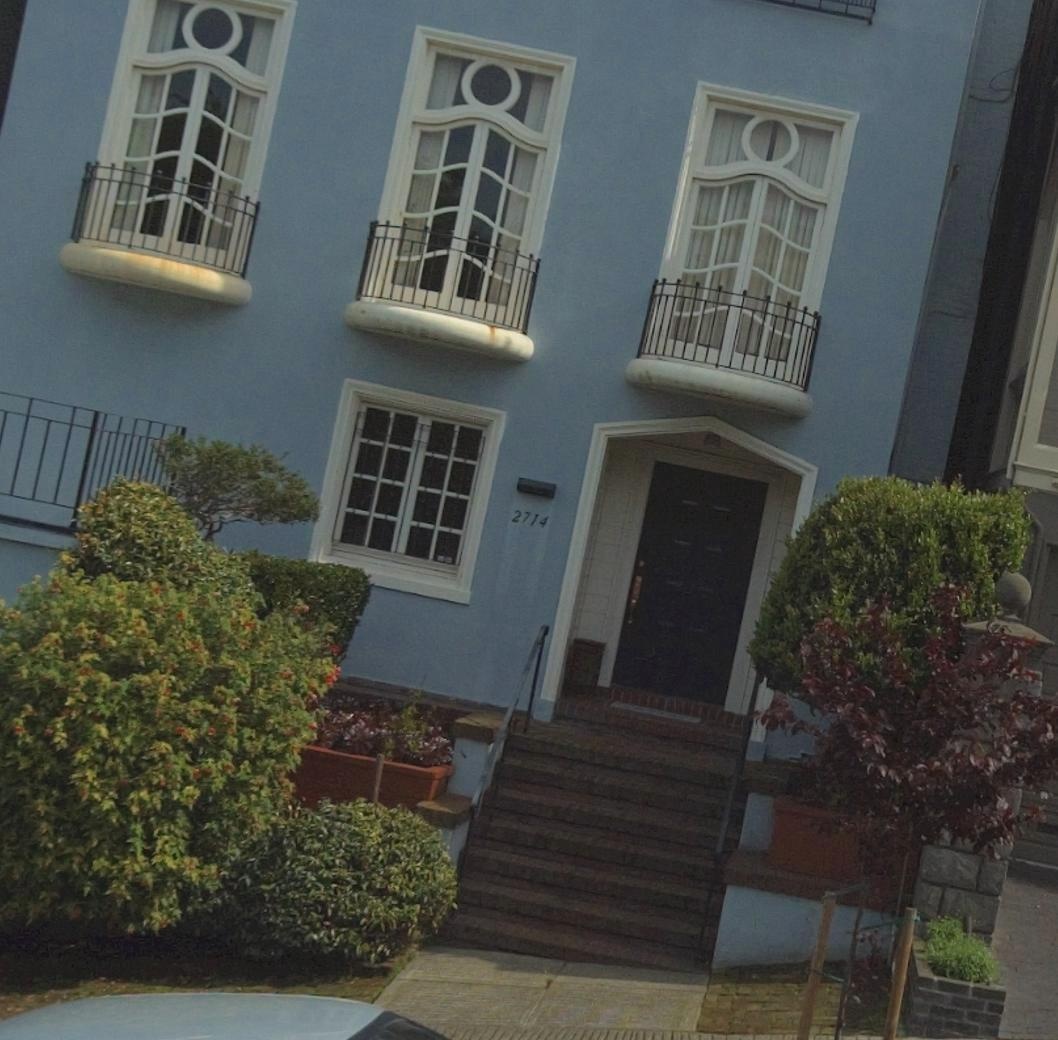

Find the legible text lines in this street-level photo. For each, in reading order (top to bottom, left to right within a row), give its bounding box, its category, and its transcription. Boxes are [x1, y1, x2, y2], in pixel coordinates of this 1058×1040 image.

[508, 507, 553, 532] StreetNumber: 2714